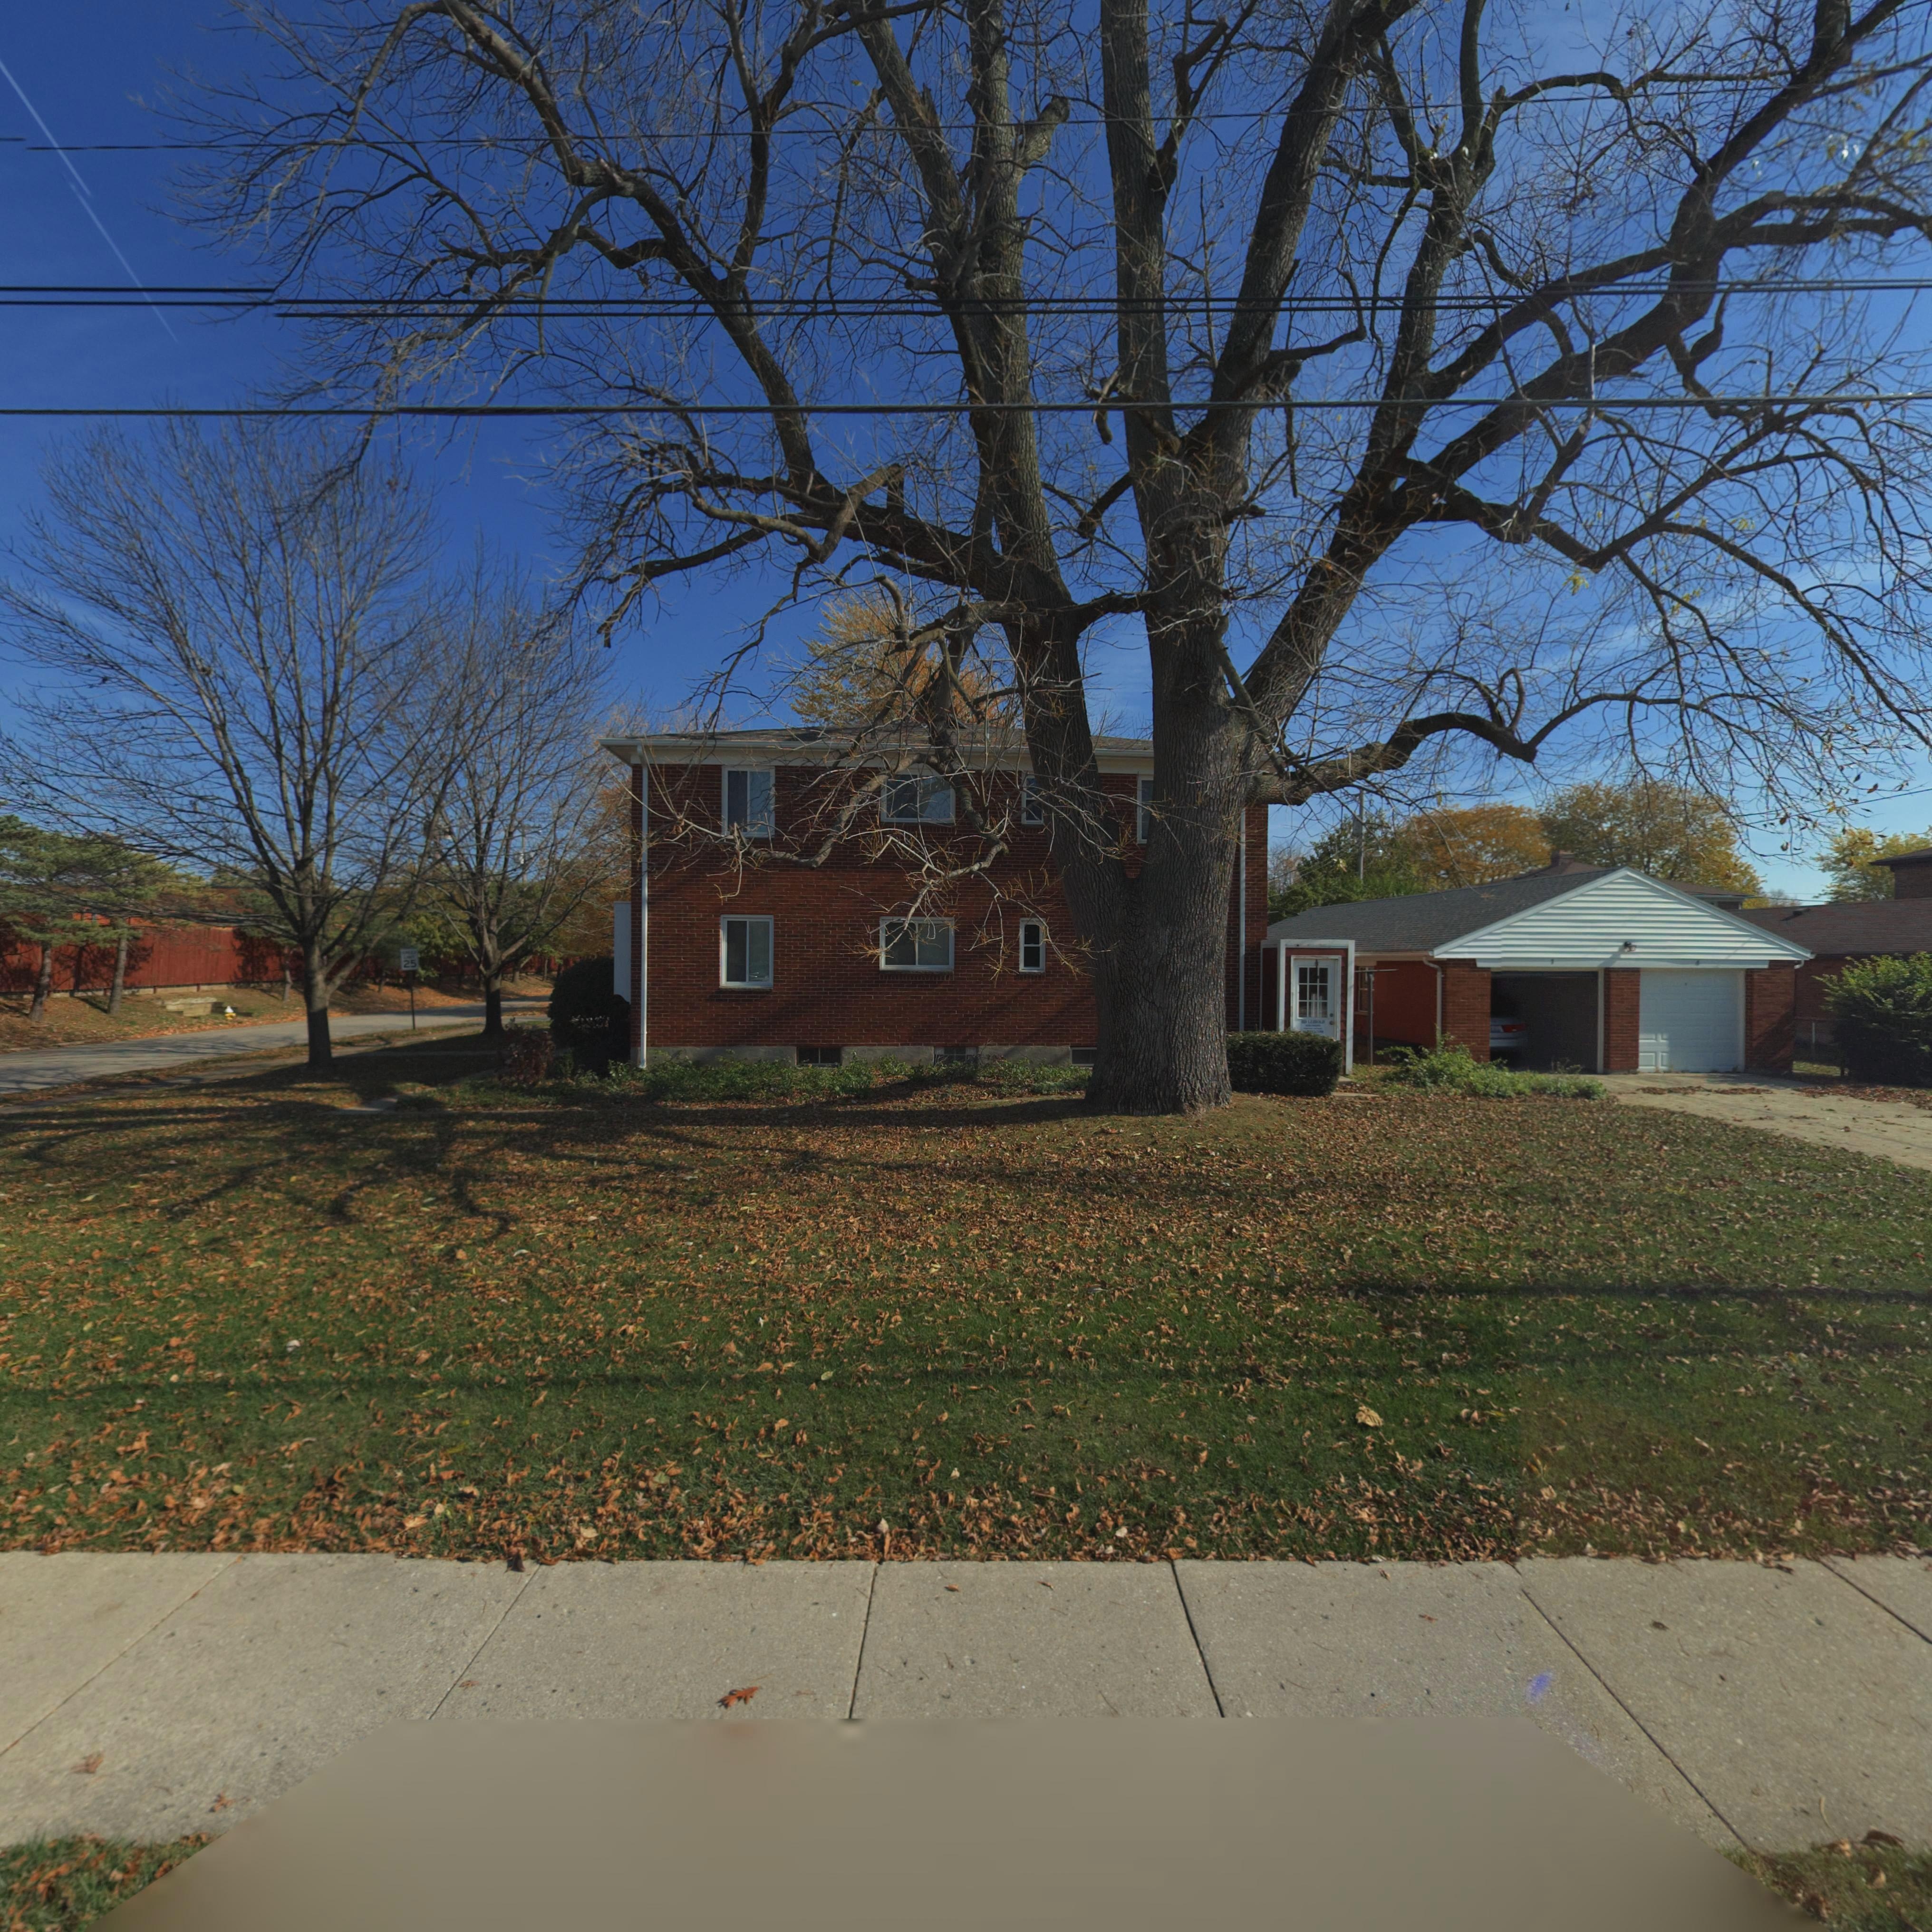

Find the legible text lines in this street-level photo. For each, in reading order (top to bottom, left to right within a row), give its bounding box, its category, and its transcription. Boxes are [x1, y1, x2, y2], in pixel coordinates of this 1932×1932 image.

[403, 959, 417, 968] None: 25
[1550, 958, 1555, 965] StreetNumber: 1
[1694, 960, 1701, 966] StreetNumber: 4
[1308, 1020, 1325, 1024] None: LE**OLD